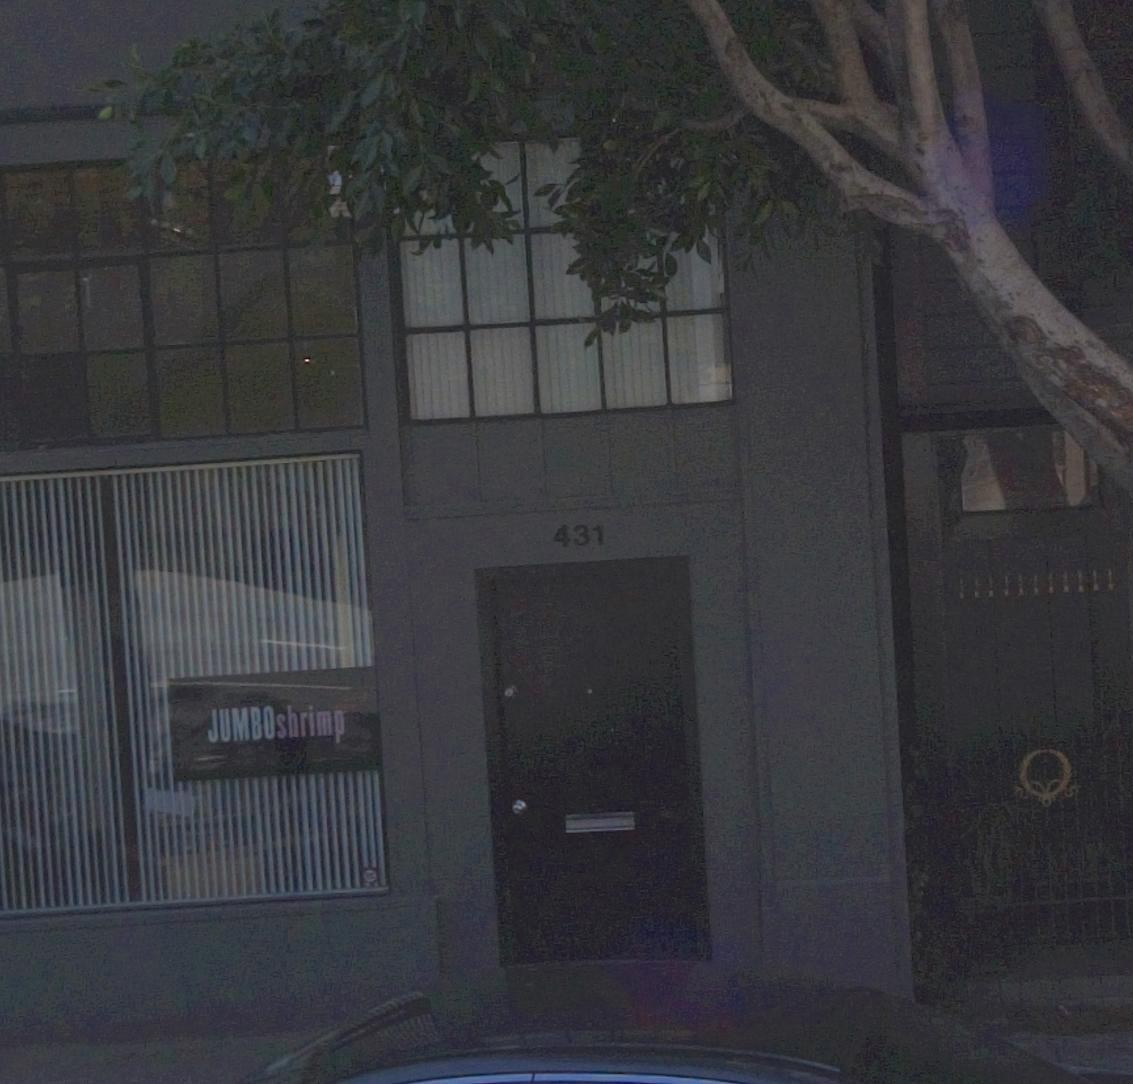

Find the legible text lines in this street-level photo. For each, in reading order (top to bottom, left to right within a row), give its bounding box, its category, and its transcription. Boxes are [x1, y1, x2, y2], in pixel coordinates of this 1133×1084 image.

[549, 521, 608, 553] StreetNumber: 431
[202, 696, 351, 751] BusinessName: JUMBOshrimp